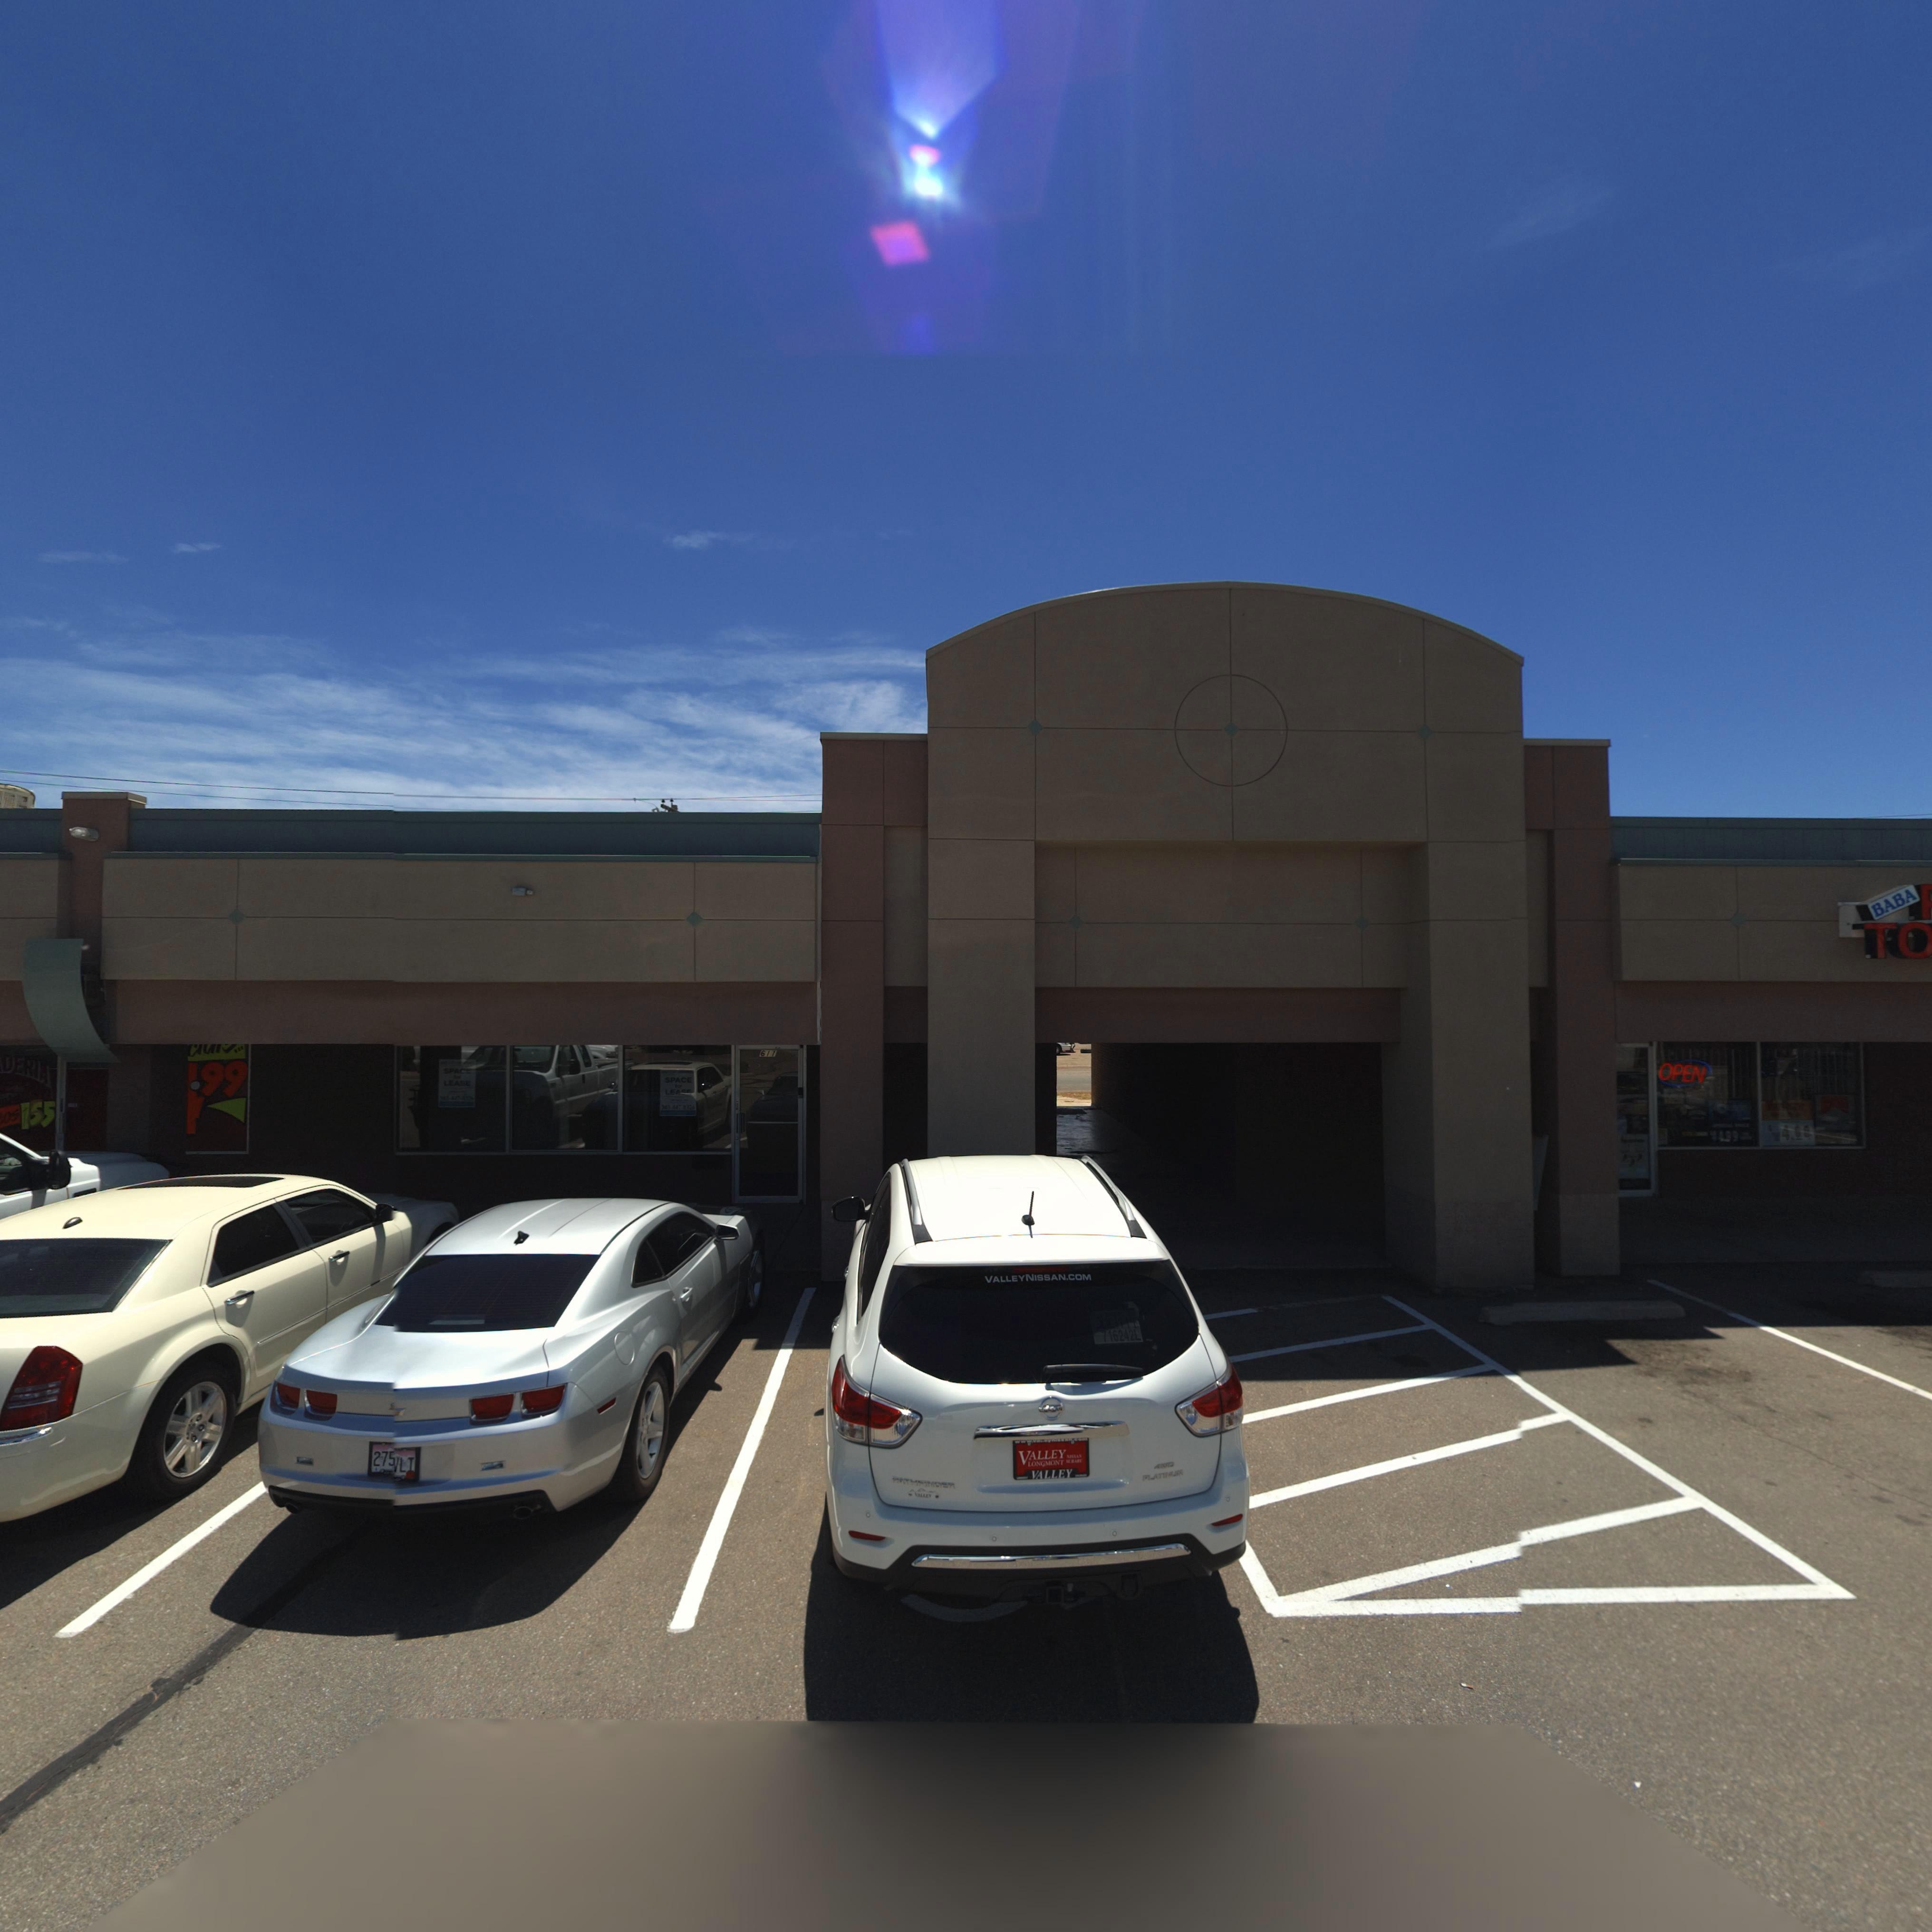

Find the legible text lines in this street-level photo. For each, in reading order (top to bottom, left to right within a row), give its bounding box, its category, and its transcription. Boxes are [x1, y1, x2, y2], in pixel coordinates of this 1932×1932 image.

[1870, 887, 1918, 918] BusinessName: BABA
[1863, 921, 1898, 960] BusinessName: T